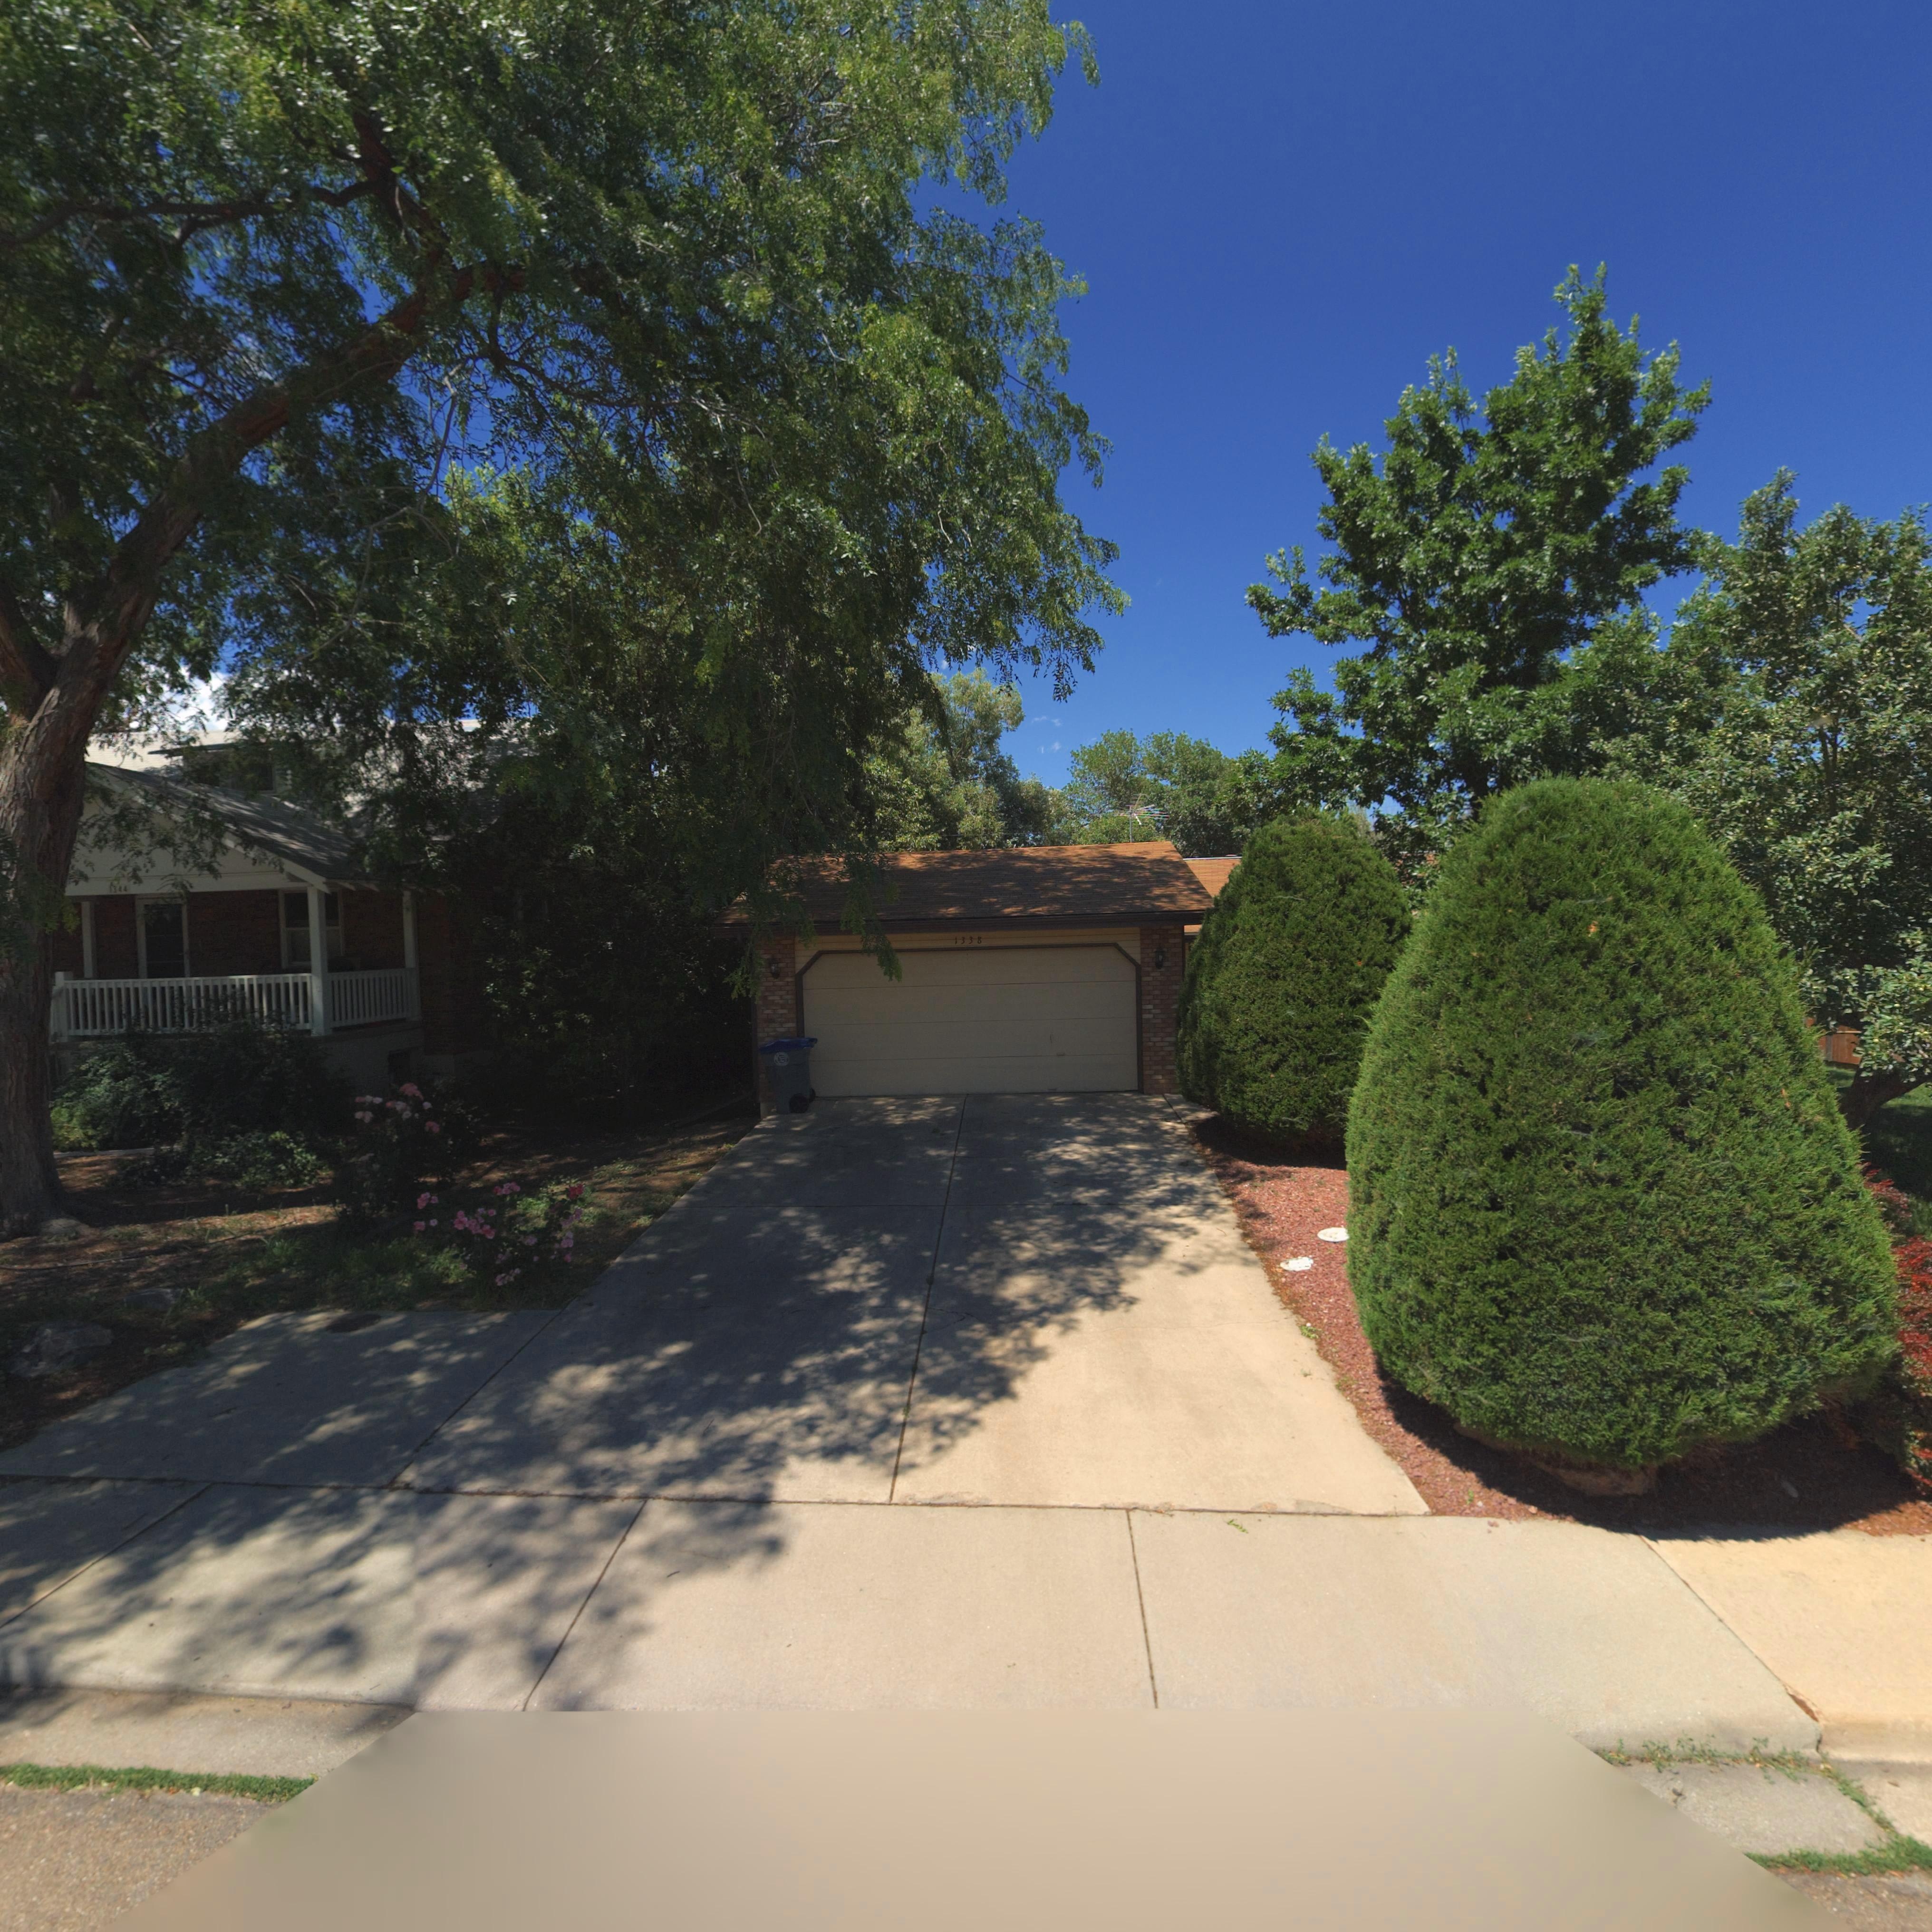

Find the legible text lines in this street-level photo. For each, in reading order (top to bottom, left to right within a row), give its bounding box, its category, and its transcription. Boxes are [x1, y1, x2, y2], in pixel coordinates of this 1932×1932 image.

[108, 885, 128, 893] StreetNumber: 1344
[955, 936, 982, 945] StreetNumber: 1338